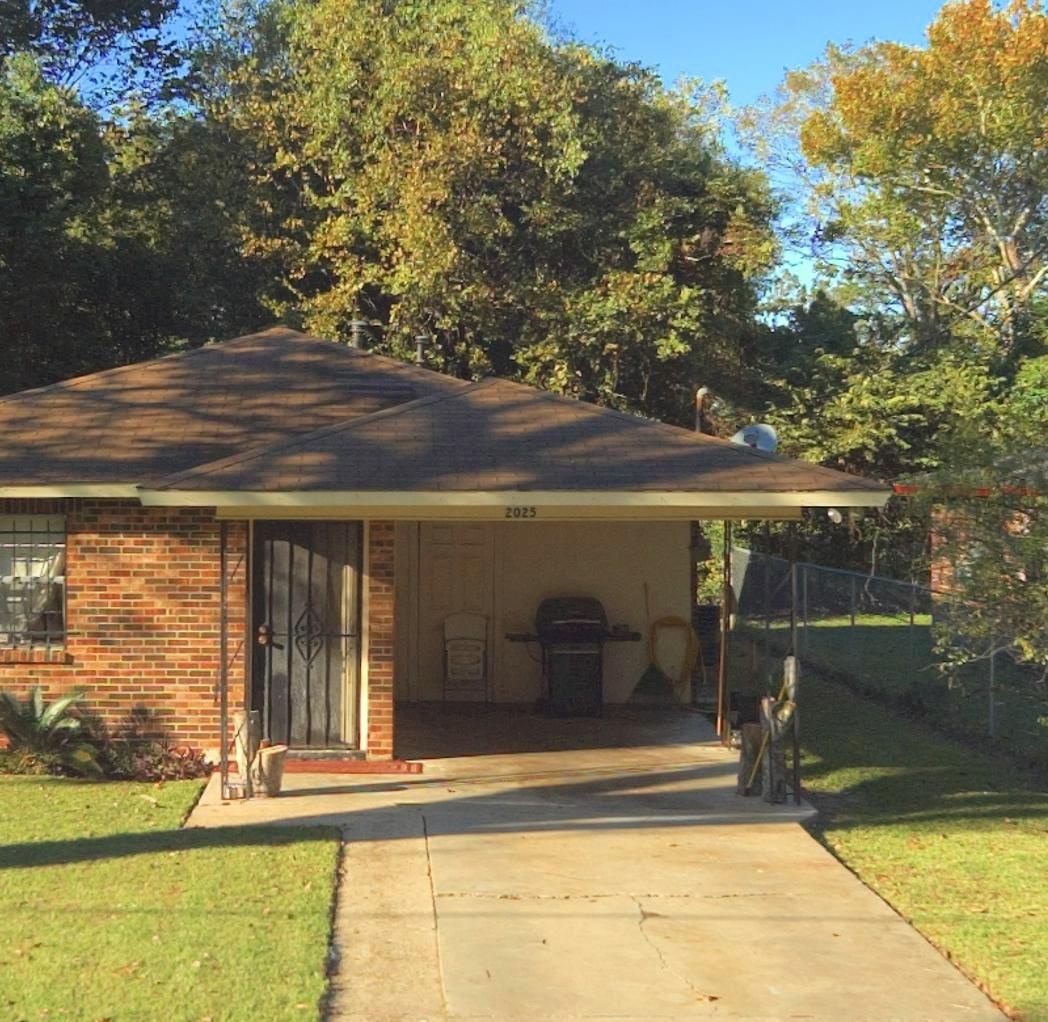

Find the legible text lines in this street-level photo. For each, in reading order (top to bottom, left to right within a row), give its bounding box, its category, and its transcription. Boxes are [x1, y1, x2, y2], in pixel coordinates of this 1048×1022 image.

[504, 506, 537, 518] StreetNumber: 2025